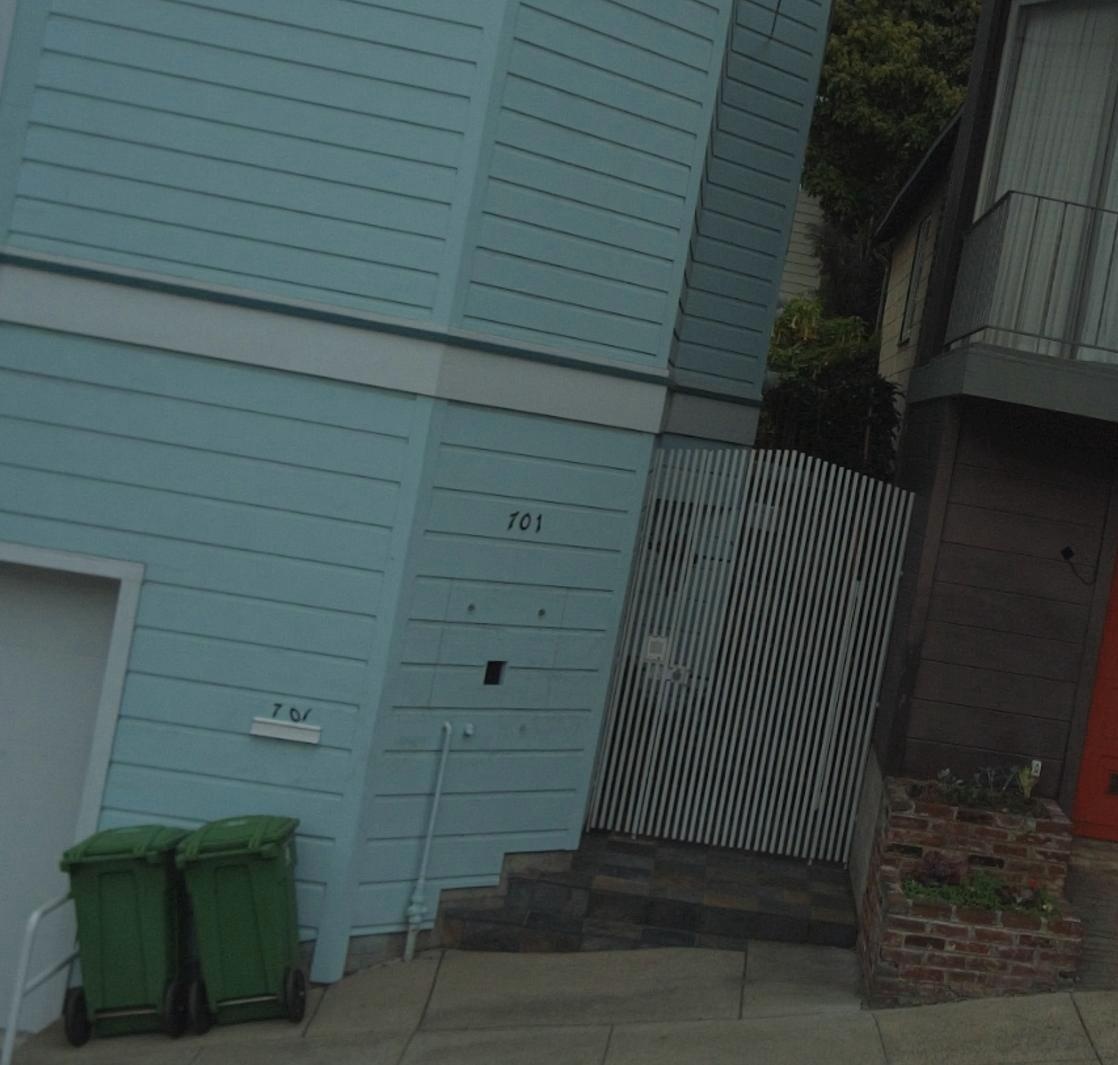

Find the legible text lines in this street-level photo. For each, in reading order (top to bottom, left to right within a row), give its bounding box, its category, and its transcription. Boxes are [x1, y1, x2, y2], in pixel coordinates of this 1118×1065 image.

[505, 510, 545, 536] StreetNumber: 701
[269, 700, 315, 724] StreetNumber: 701
[1031, 761, 1041, 776] StreetNumber: A